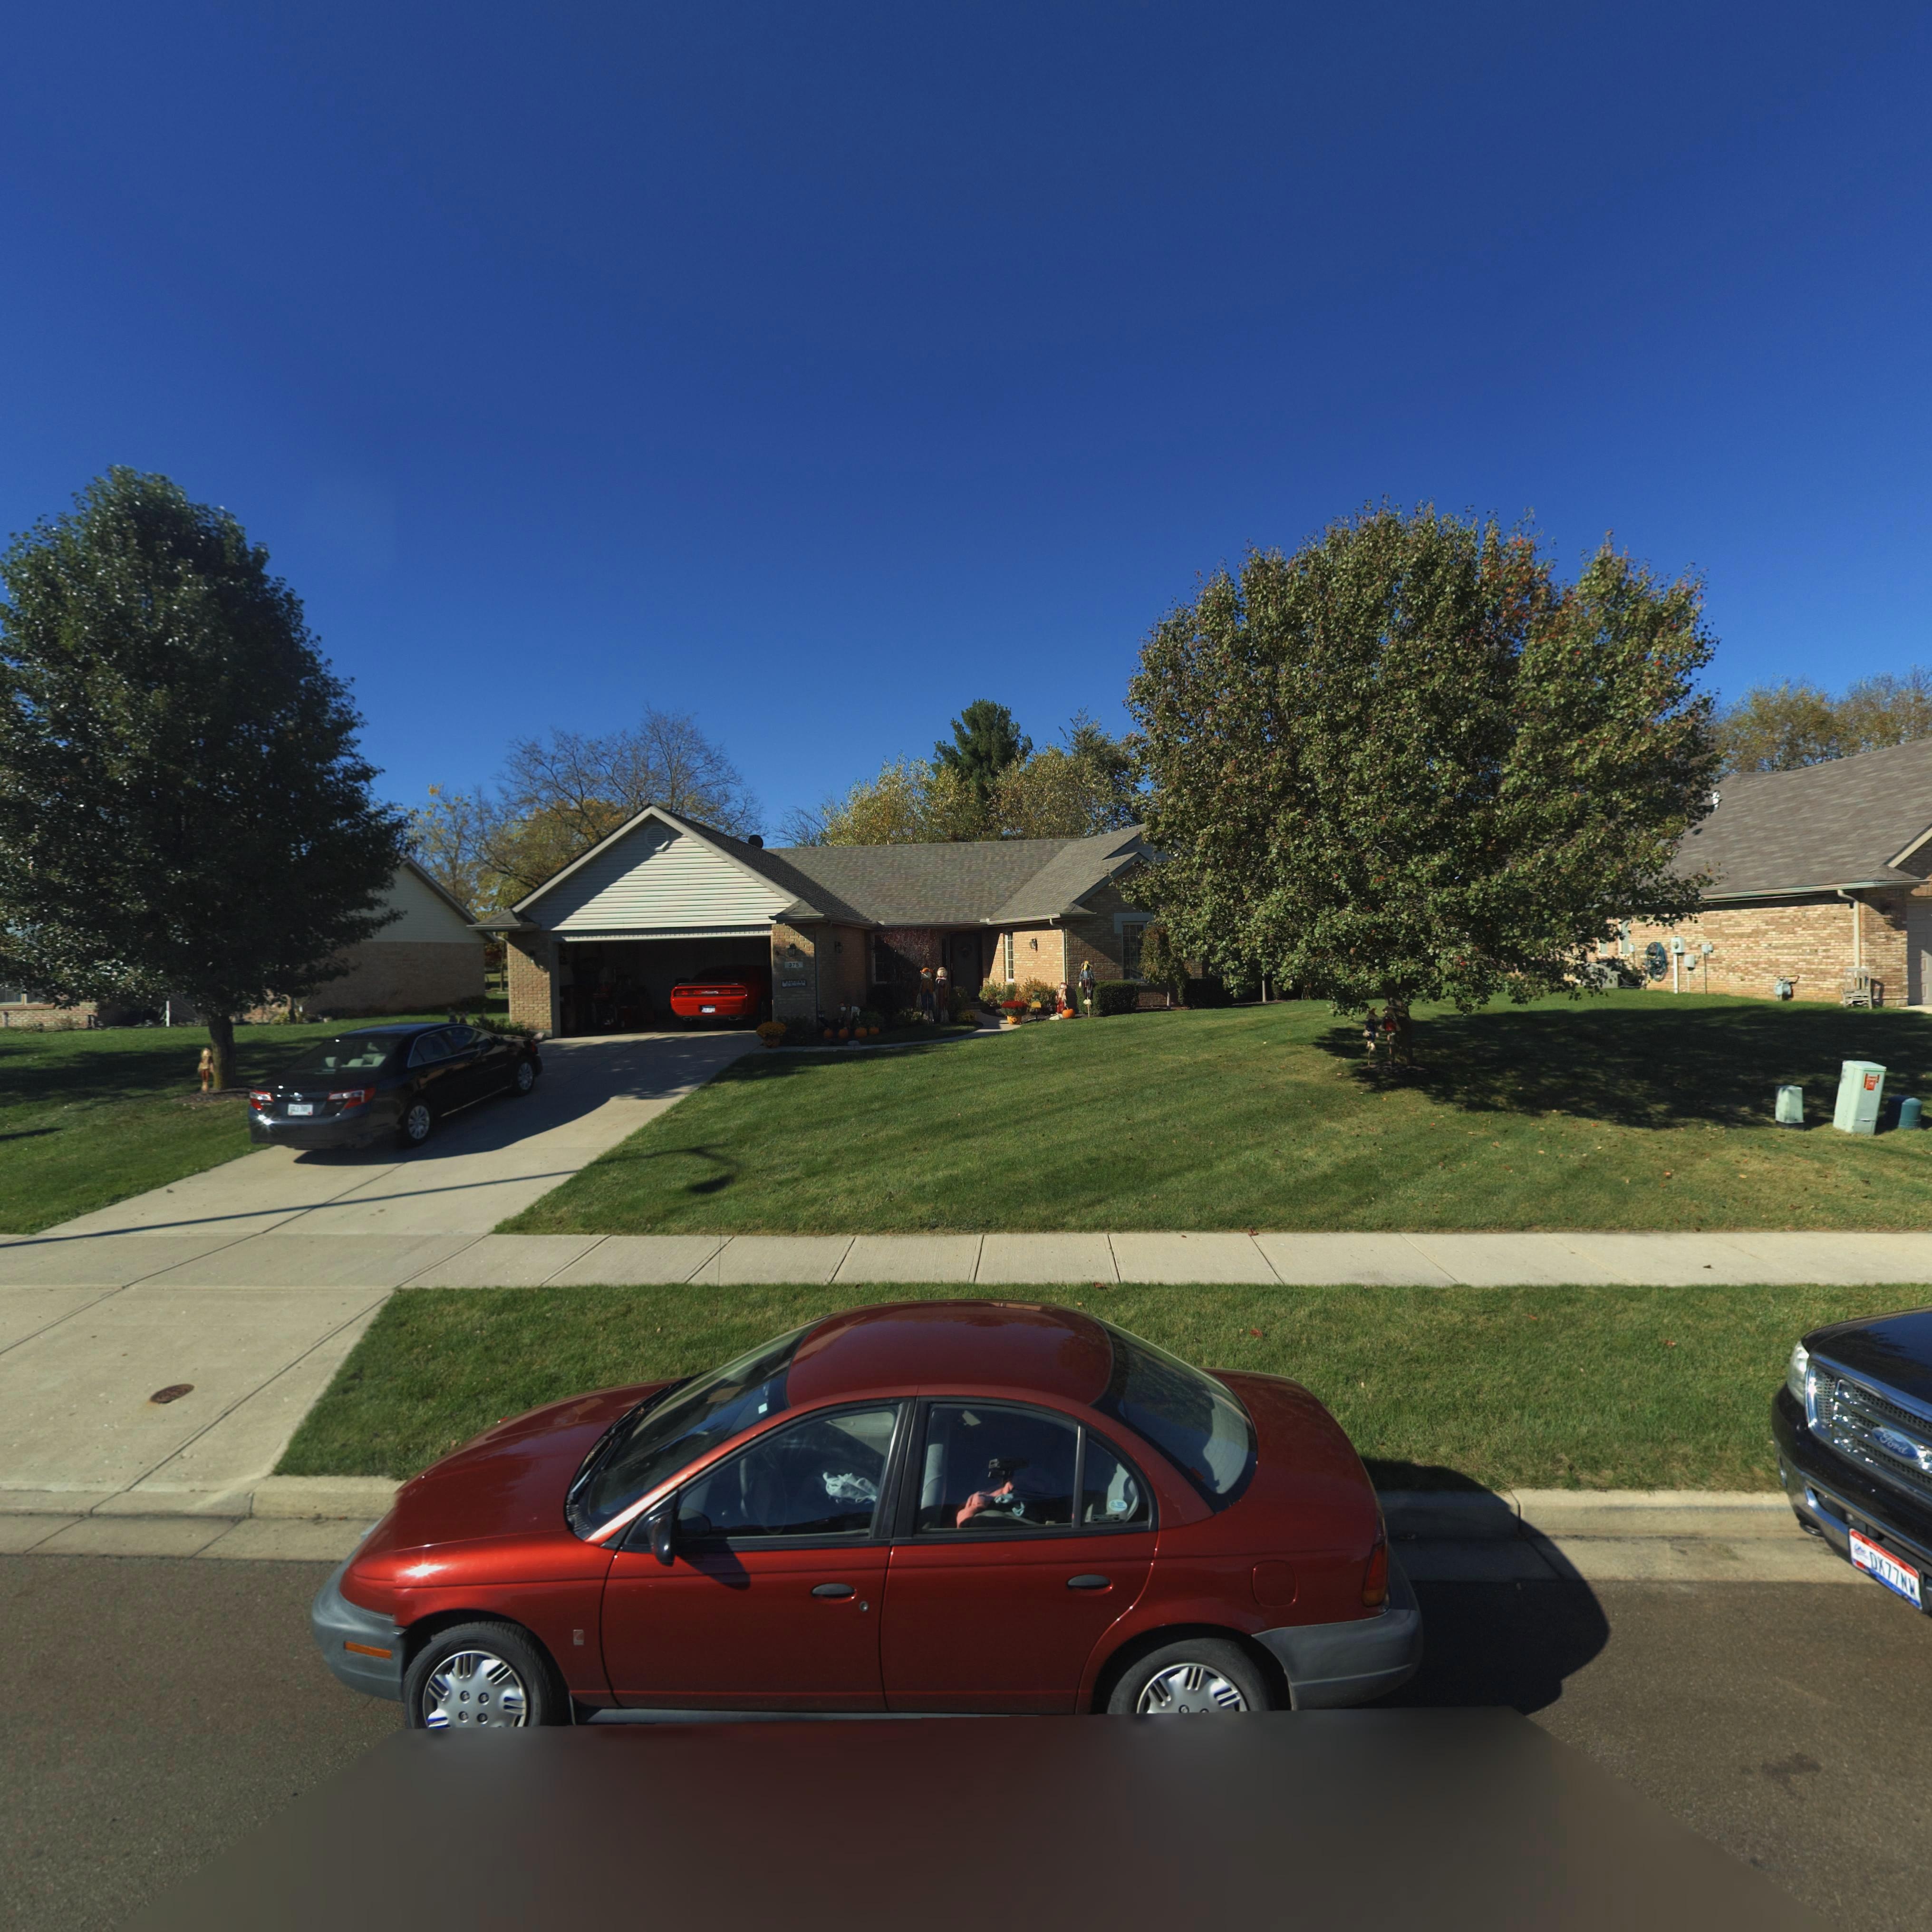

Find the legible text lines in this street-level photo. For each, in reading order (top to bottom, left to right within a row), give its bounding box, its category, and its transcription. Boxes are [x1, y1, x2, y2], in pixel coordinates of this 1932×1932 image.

[788, 962, 799, 967] StreetNumber: 375